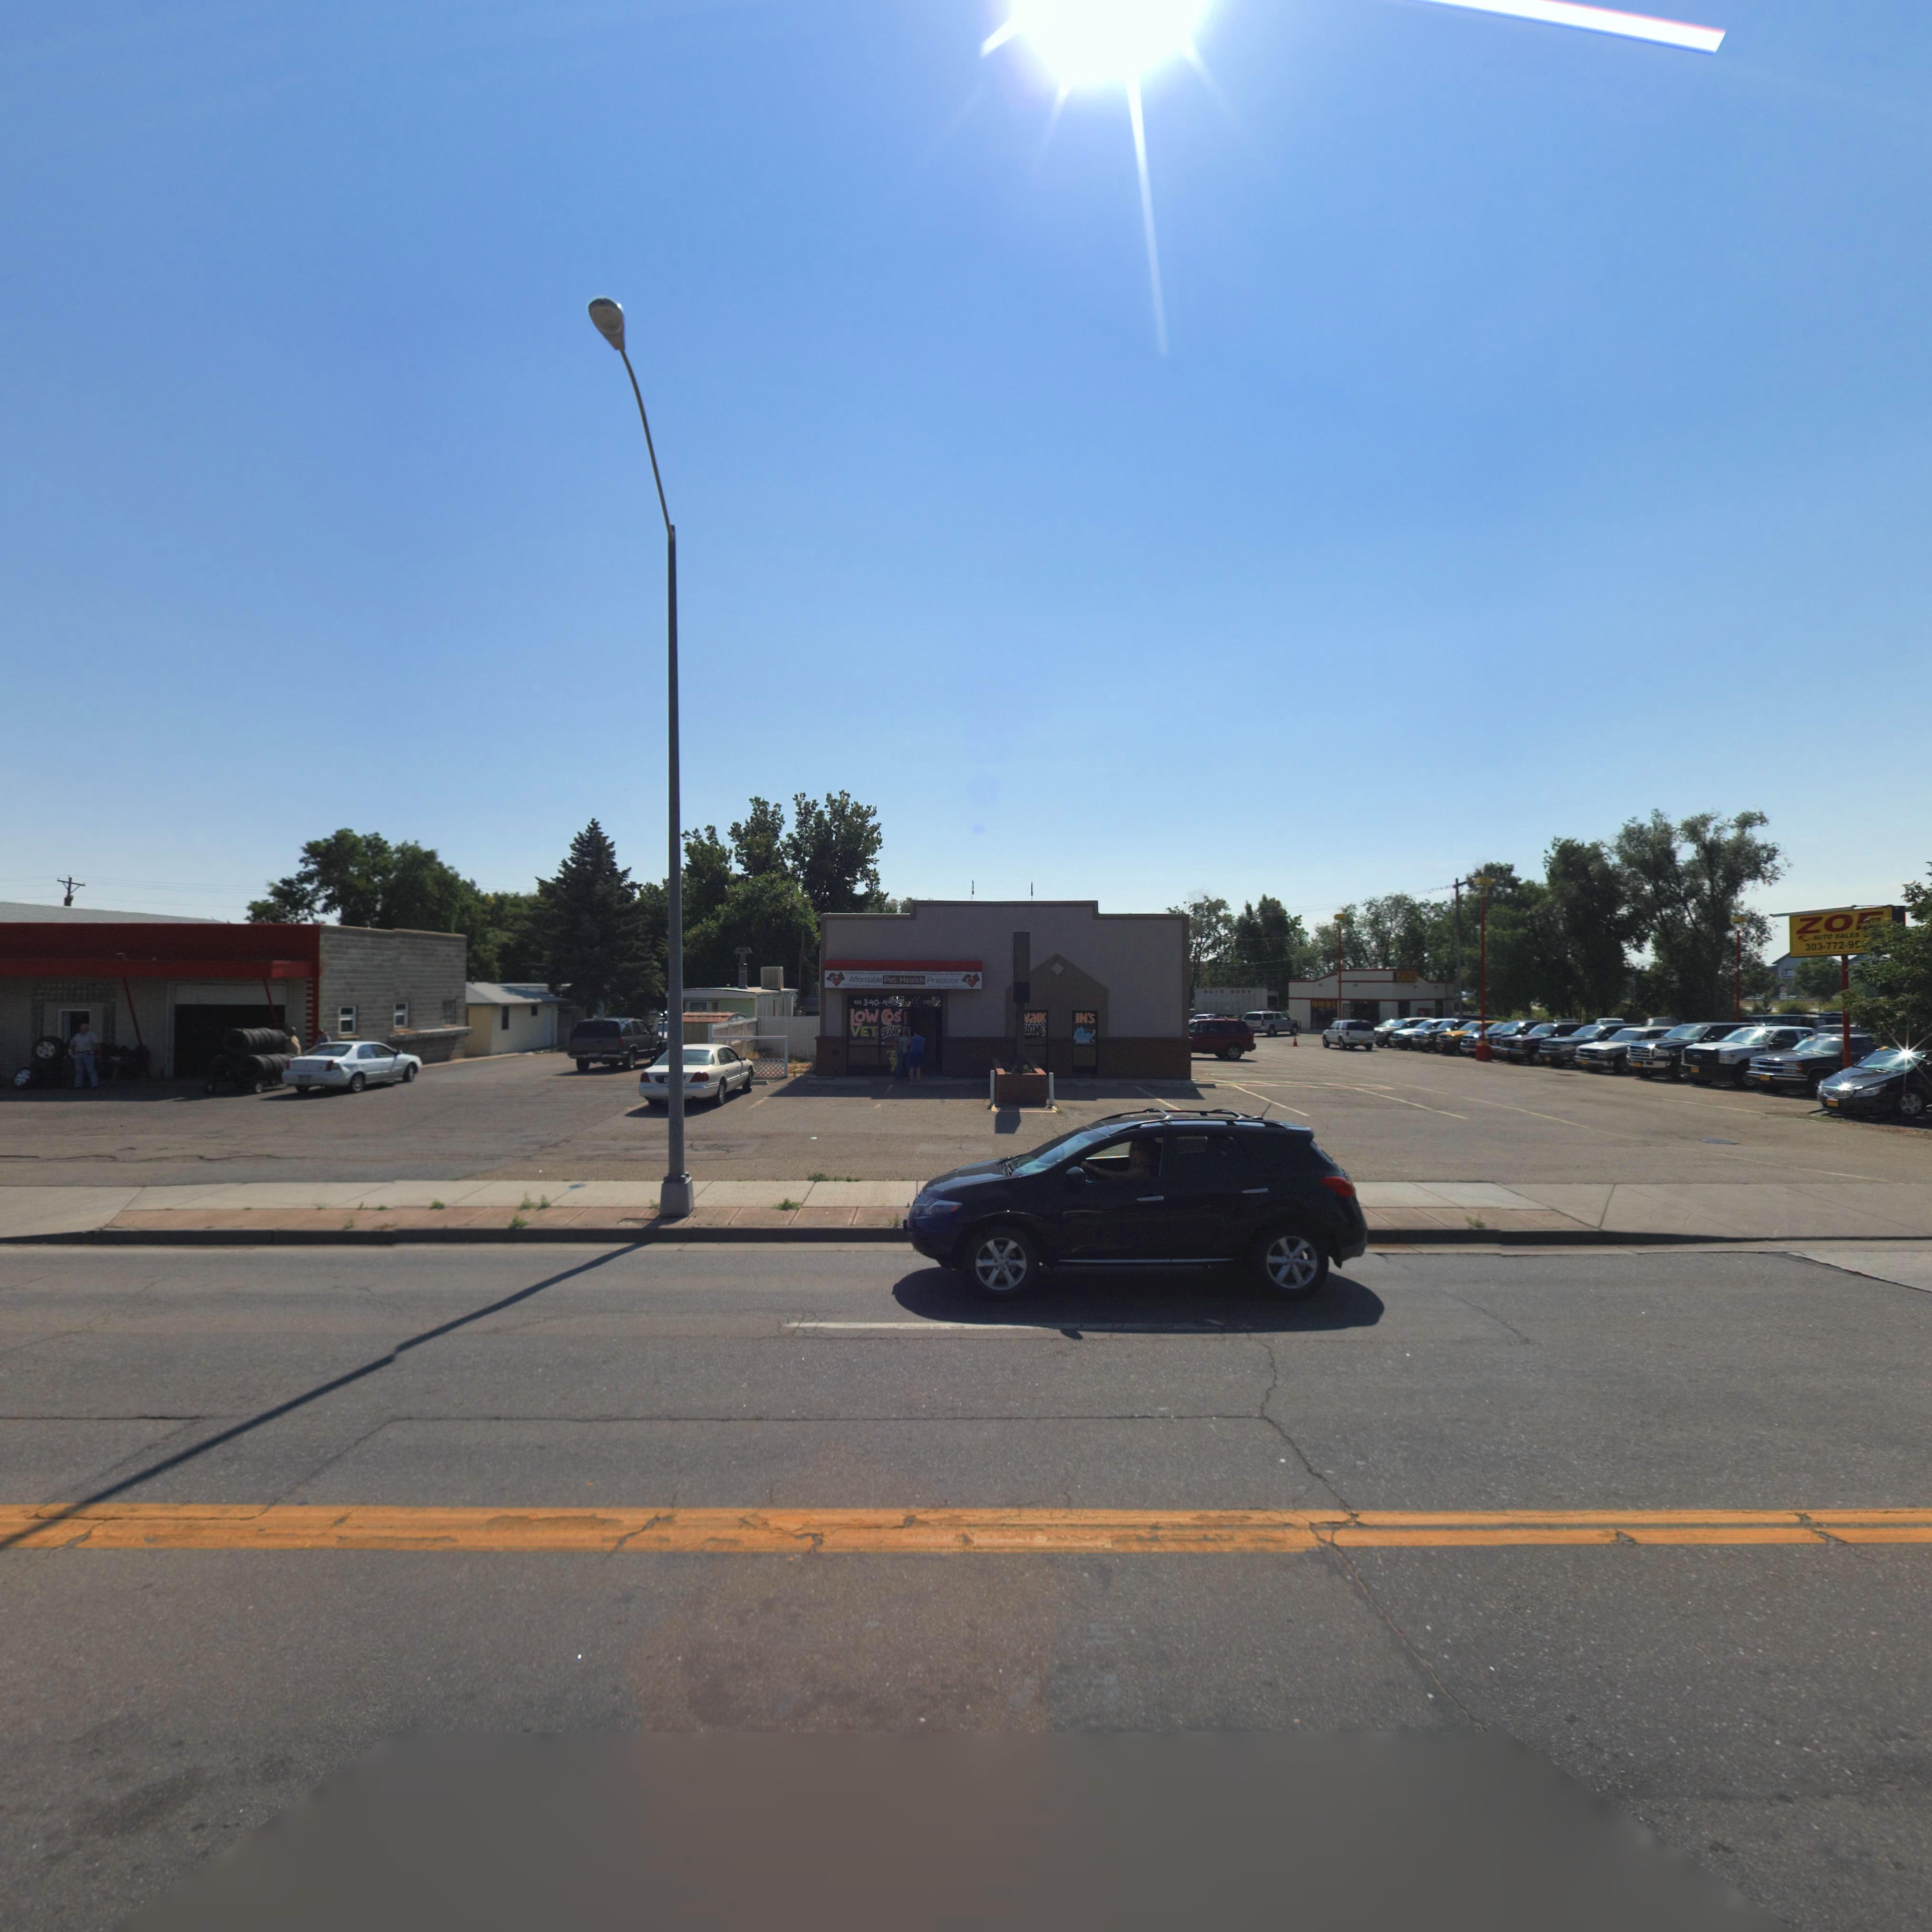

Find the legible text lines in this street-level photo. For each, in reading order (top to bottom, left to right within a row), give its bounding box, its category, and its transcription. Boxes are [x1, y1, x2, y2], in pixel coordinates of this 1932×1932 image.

[1795, 910, 1884, 935] BusinessName: ZO*
[1811, 931, 1860, 940] BusinessName: AUTO SALES
[1398, 972, 1416, 978] BusinessName: ZOE
[848, 976, 958, 984] BusinessName: Affordable Pet Health Practice
[923, 999, 931, 1004] StreetNumber: 230